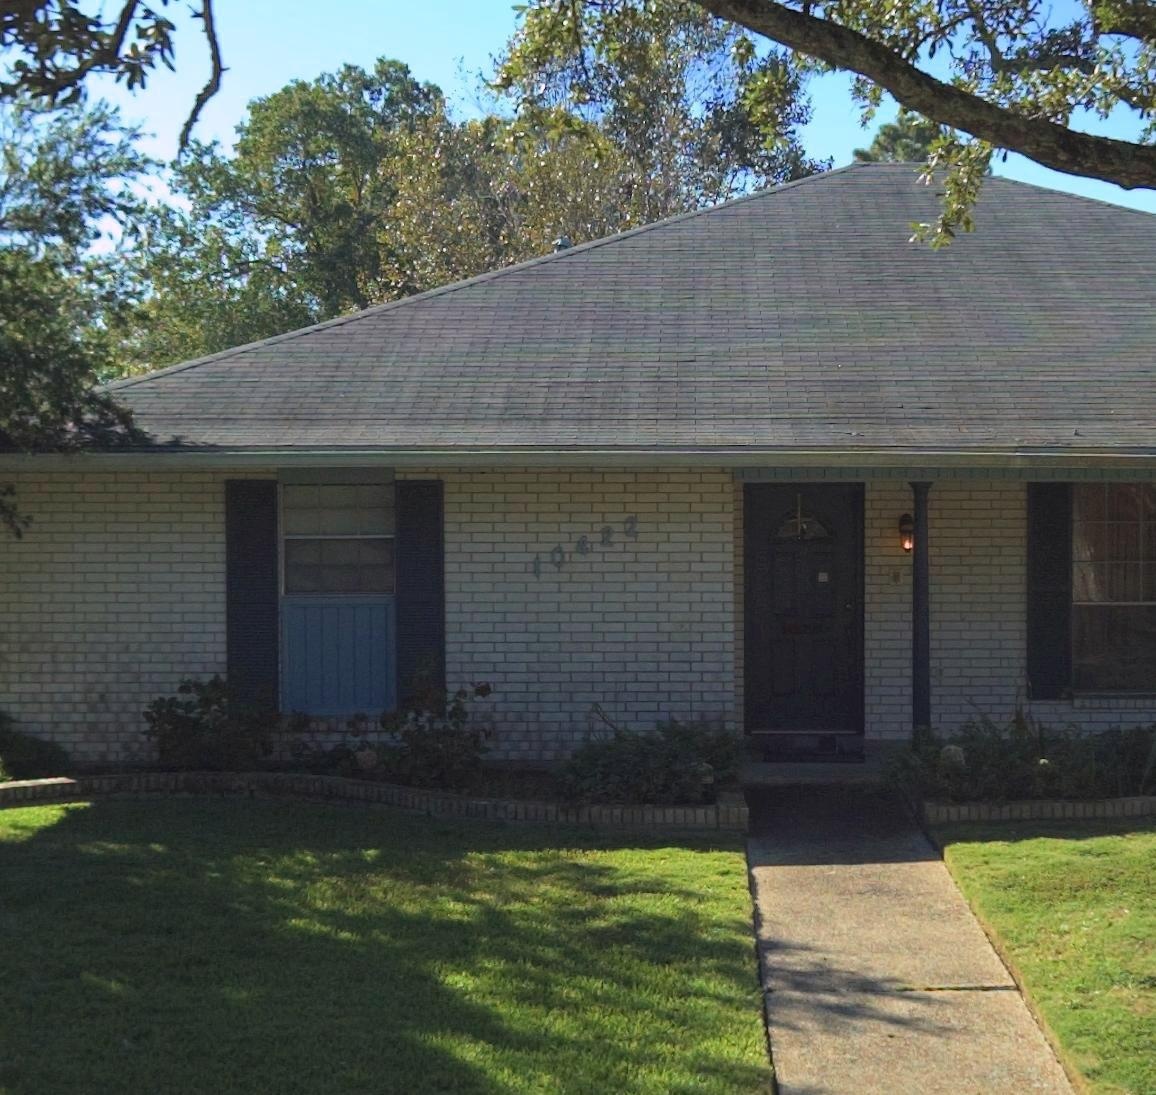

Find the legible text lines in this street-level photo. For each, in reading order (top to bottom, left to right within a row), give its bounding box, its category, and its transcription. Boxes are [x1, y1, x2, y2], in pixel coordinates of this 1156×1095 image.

[531, 511, 640, 583] StreetNumber: 10422